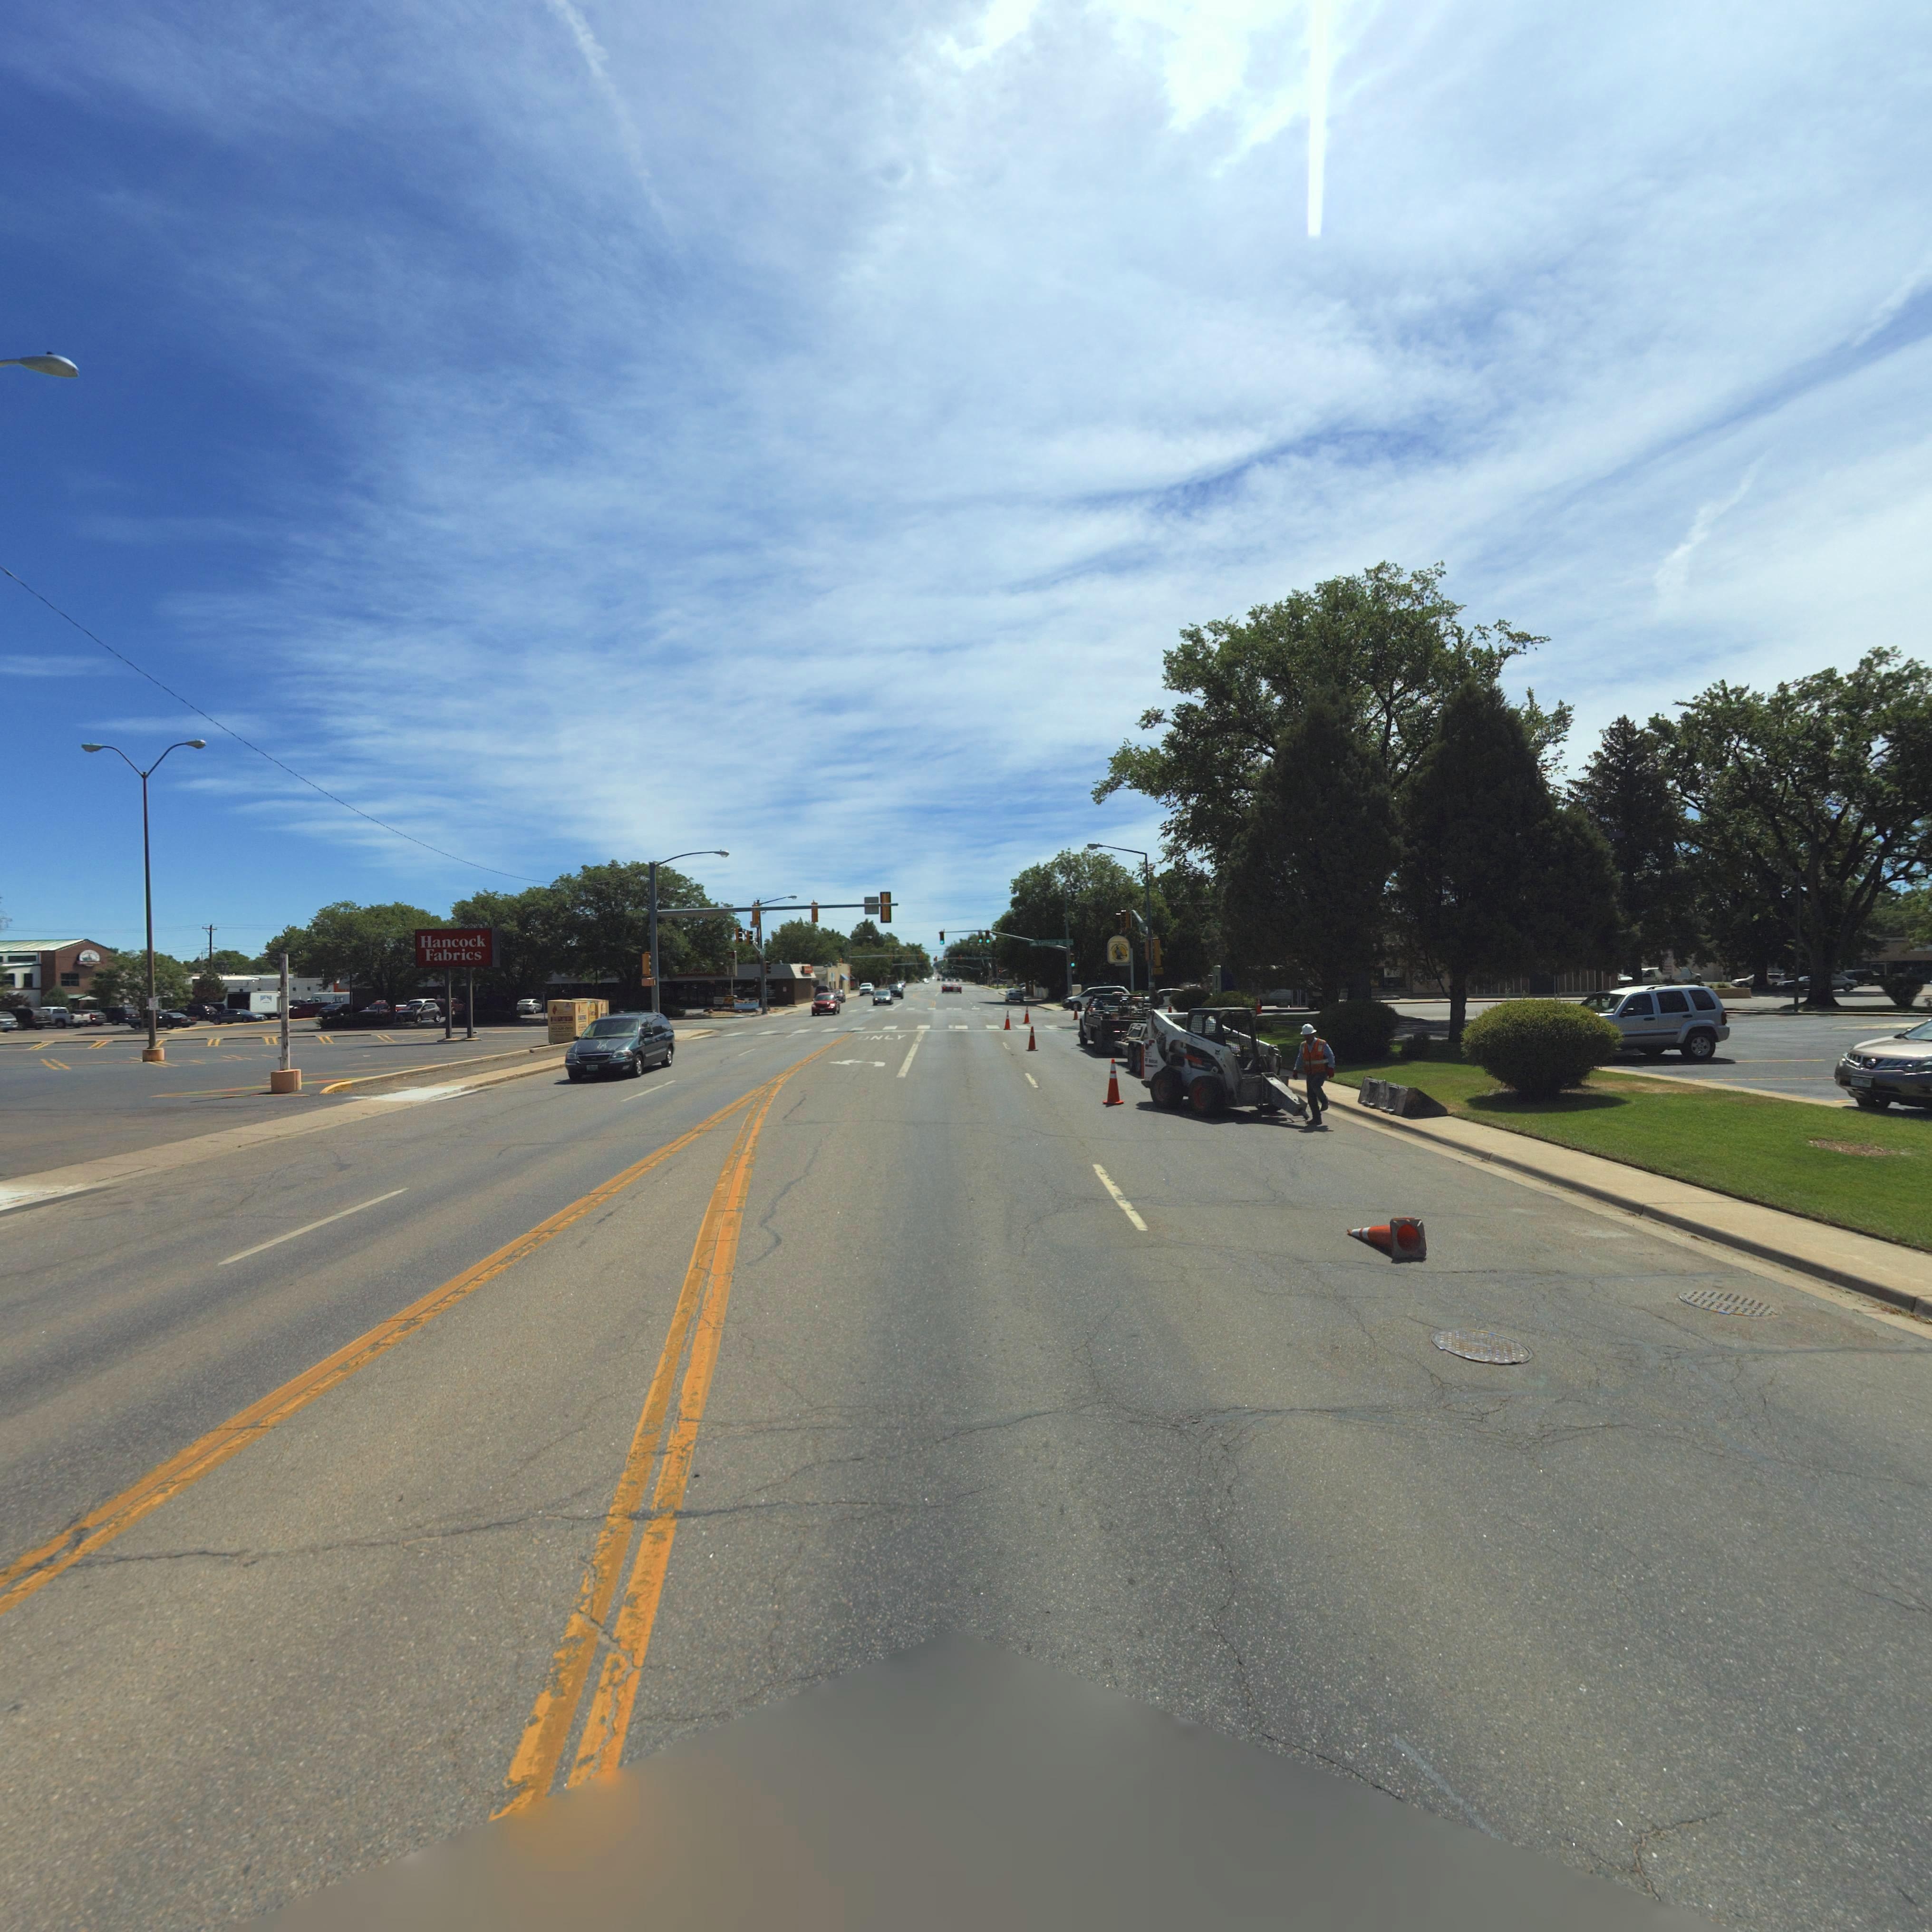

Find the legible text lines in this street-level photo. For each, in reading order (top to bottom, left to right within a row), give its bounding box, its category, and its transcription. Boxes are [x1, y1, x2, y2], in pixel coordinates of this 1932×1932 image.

[419, 935, 487, 948] BusinessName: Hancock
[1038, 940, 1063, 945] StreetName: C****** S*
[425, 948, 483, 961] BusinessName: Fabrics